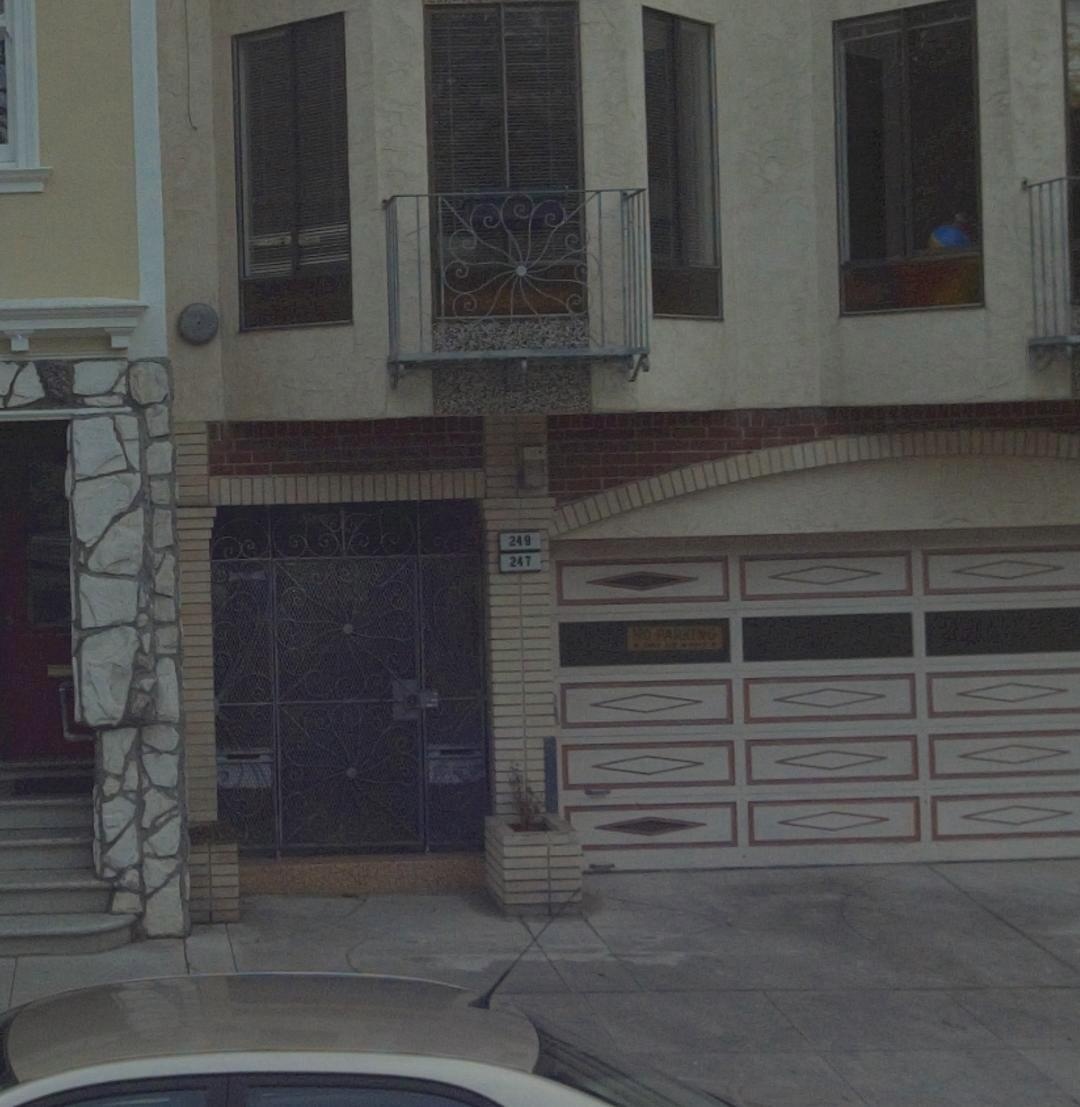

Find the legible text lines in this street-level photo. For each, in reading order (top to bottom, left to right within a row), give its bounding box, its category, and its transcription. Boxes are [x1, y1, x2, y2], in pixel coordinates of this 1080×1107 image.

[507, 534, 532, 547] StreetNumber: 249
[508, 555, 532, 568] StreetNumber: 247
[631, 626, 717, 642] None: NO PARKING